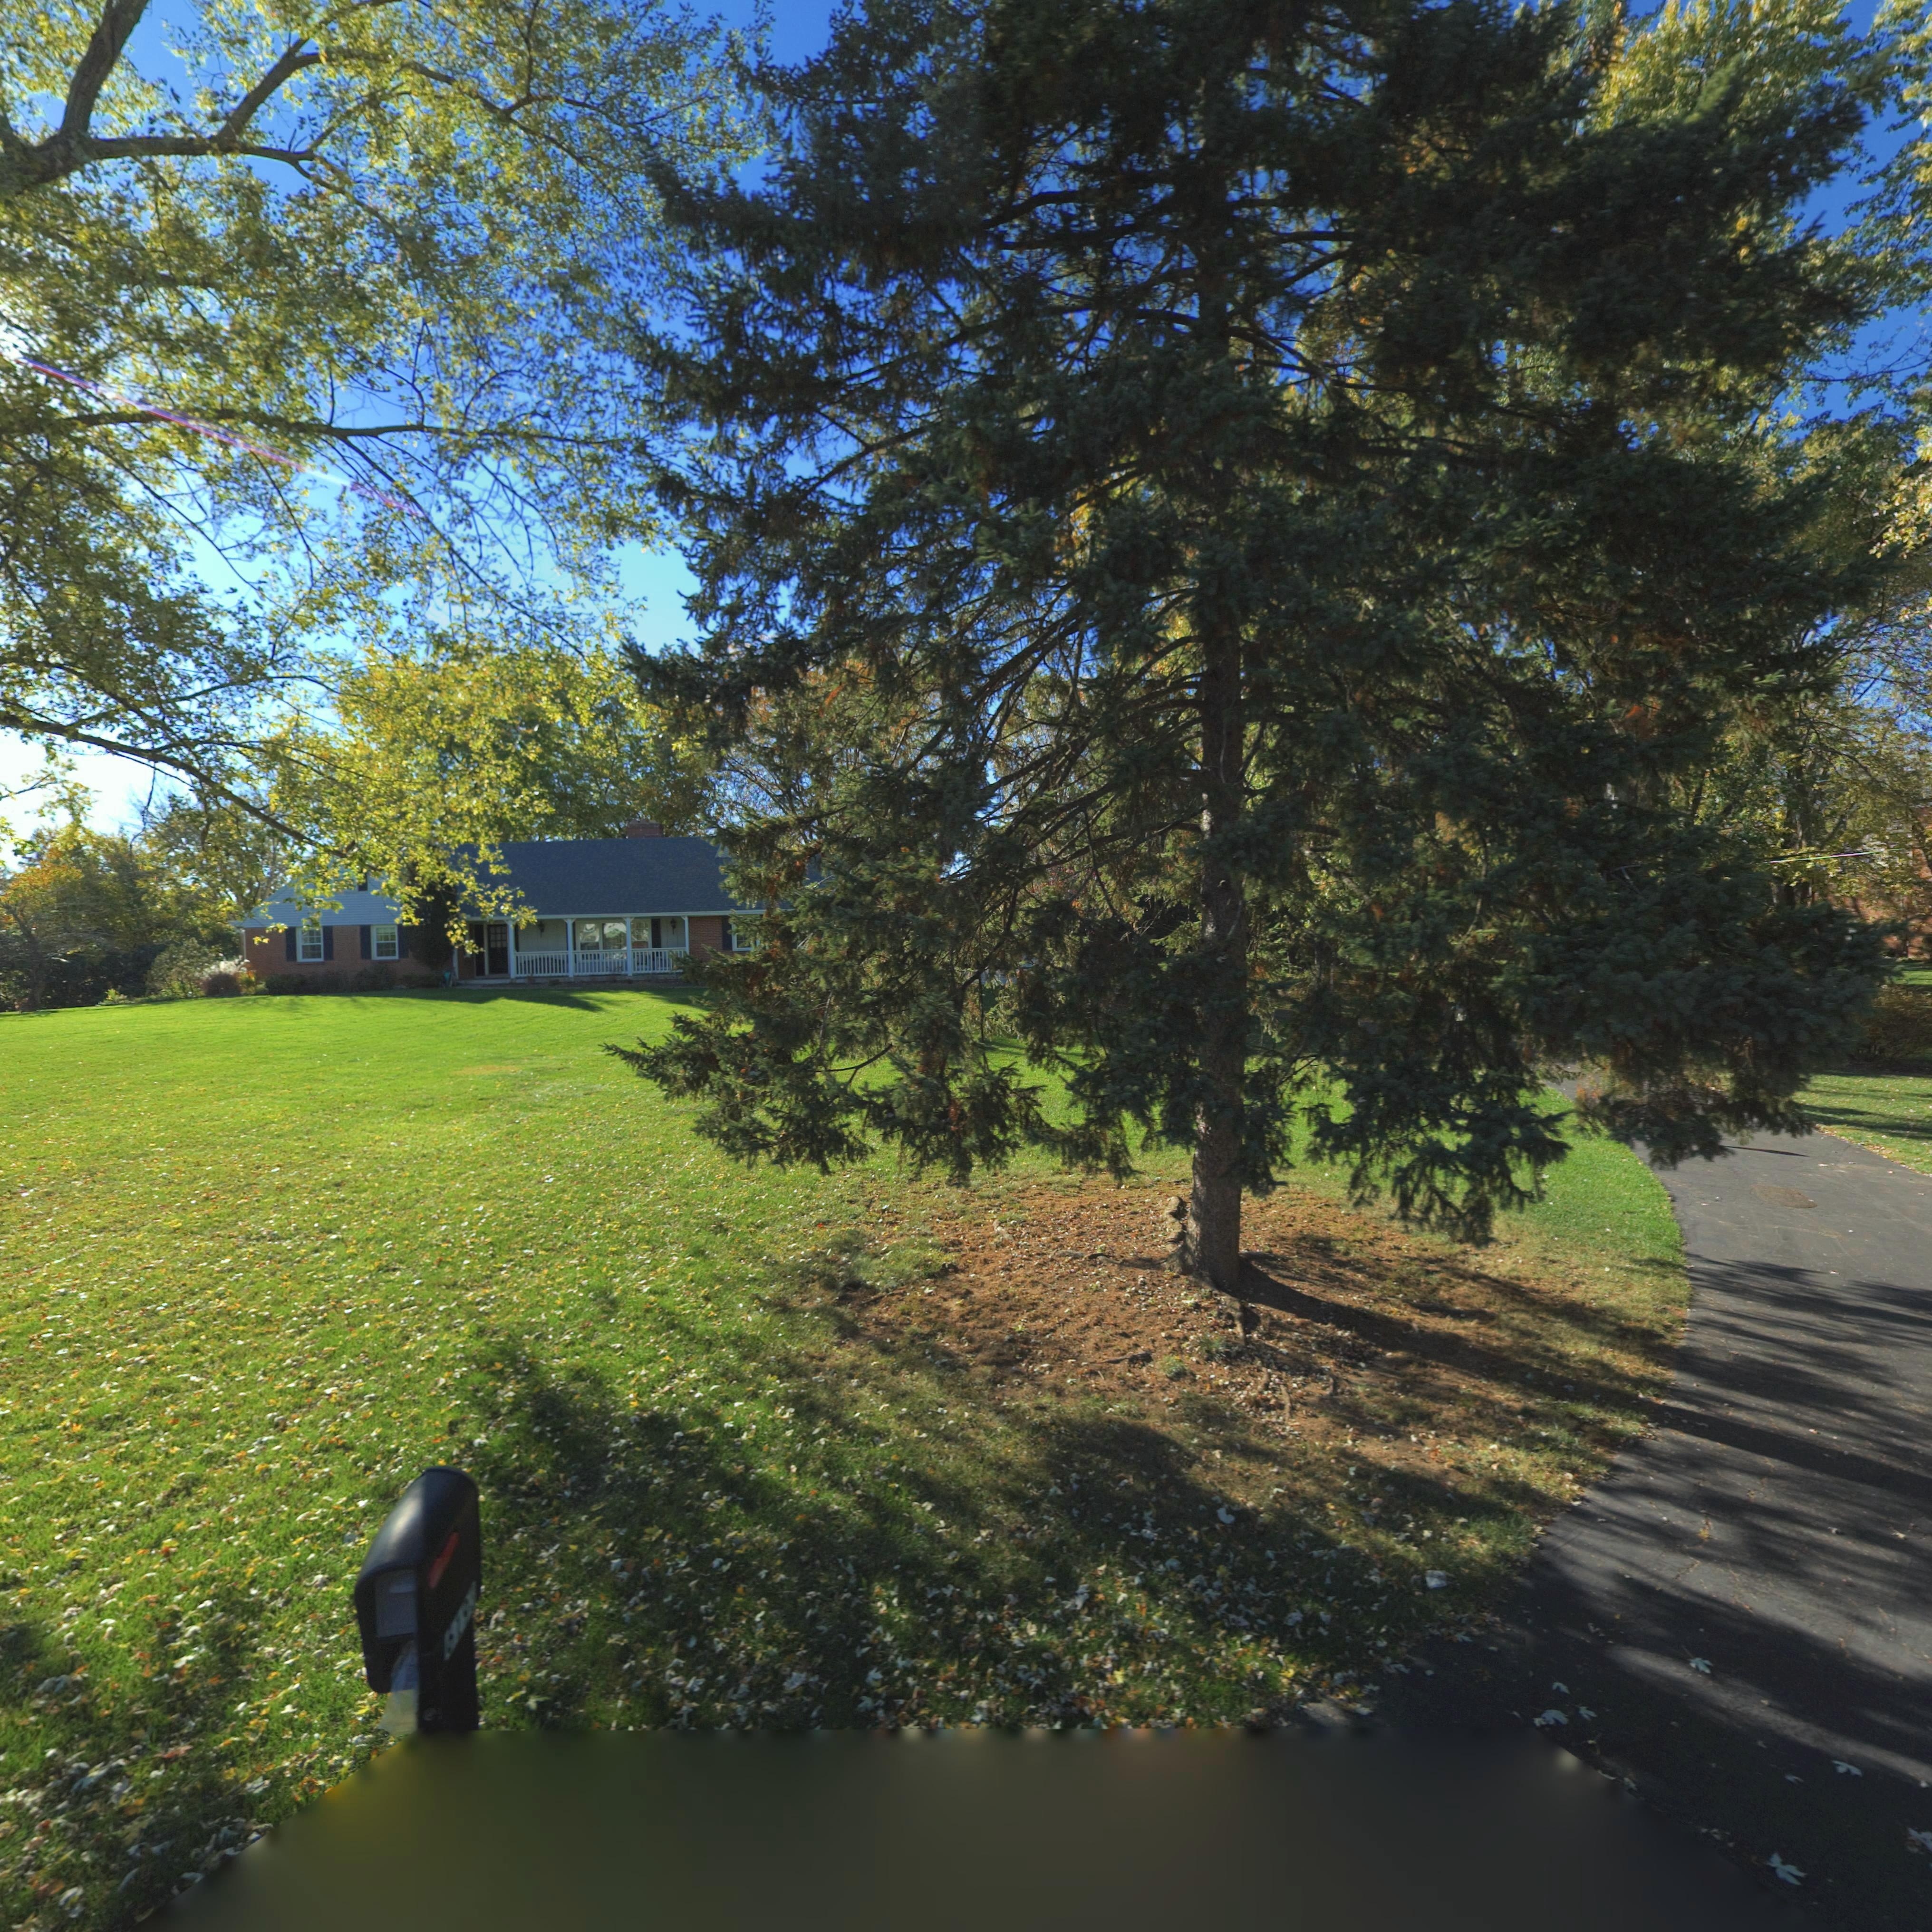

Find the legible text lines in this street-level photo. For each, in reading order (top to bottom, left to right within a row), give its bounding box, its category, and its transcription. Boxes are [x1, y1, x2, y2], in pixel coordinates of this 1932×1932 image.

[444, 1596, 472, 1657] StreetNumber: *1*